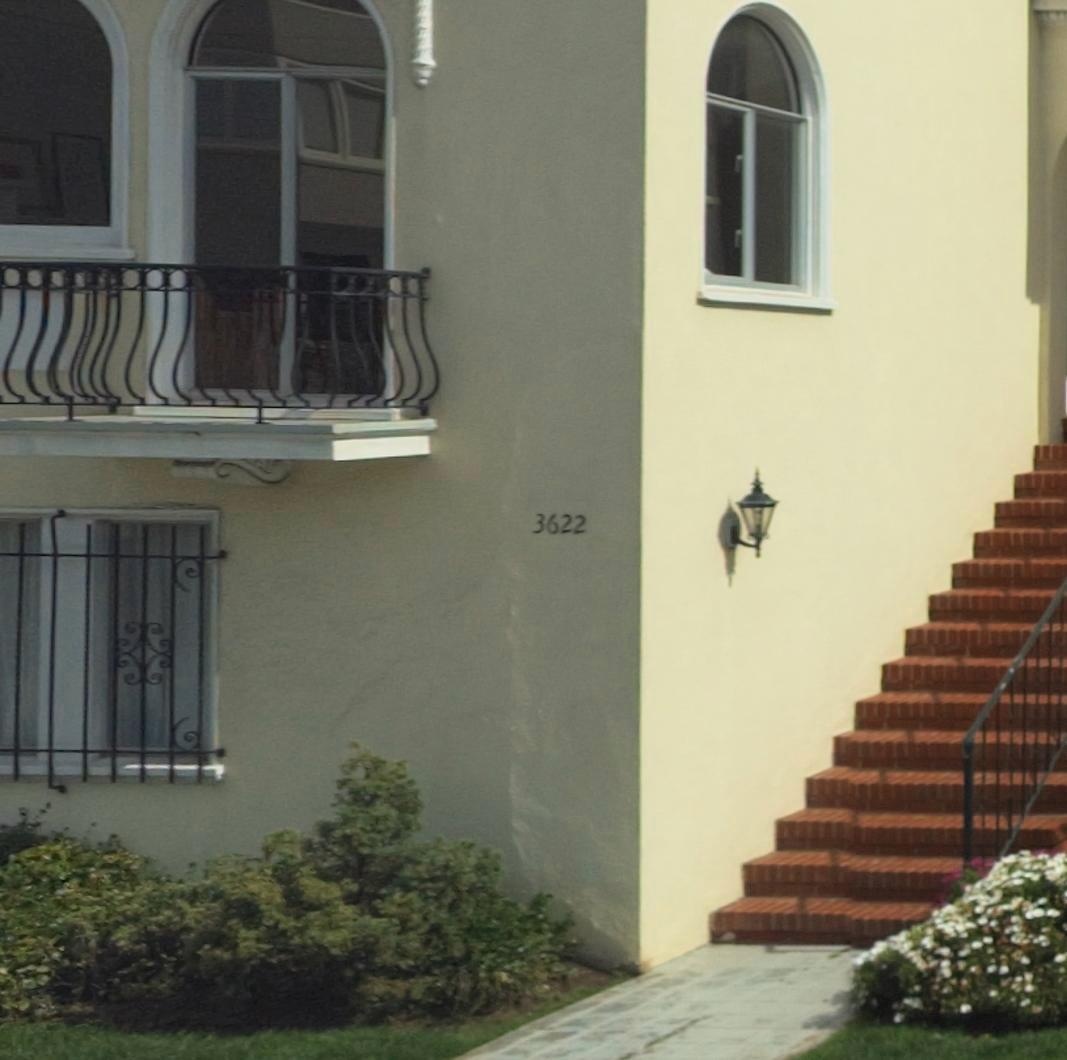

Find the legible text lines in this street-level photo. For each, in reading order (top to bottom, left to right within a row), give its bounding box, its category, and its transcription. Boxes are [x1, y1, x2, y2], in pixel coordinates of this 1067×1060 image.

[528, 510, 590, 538] StreetNumber: 3622